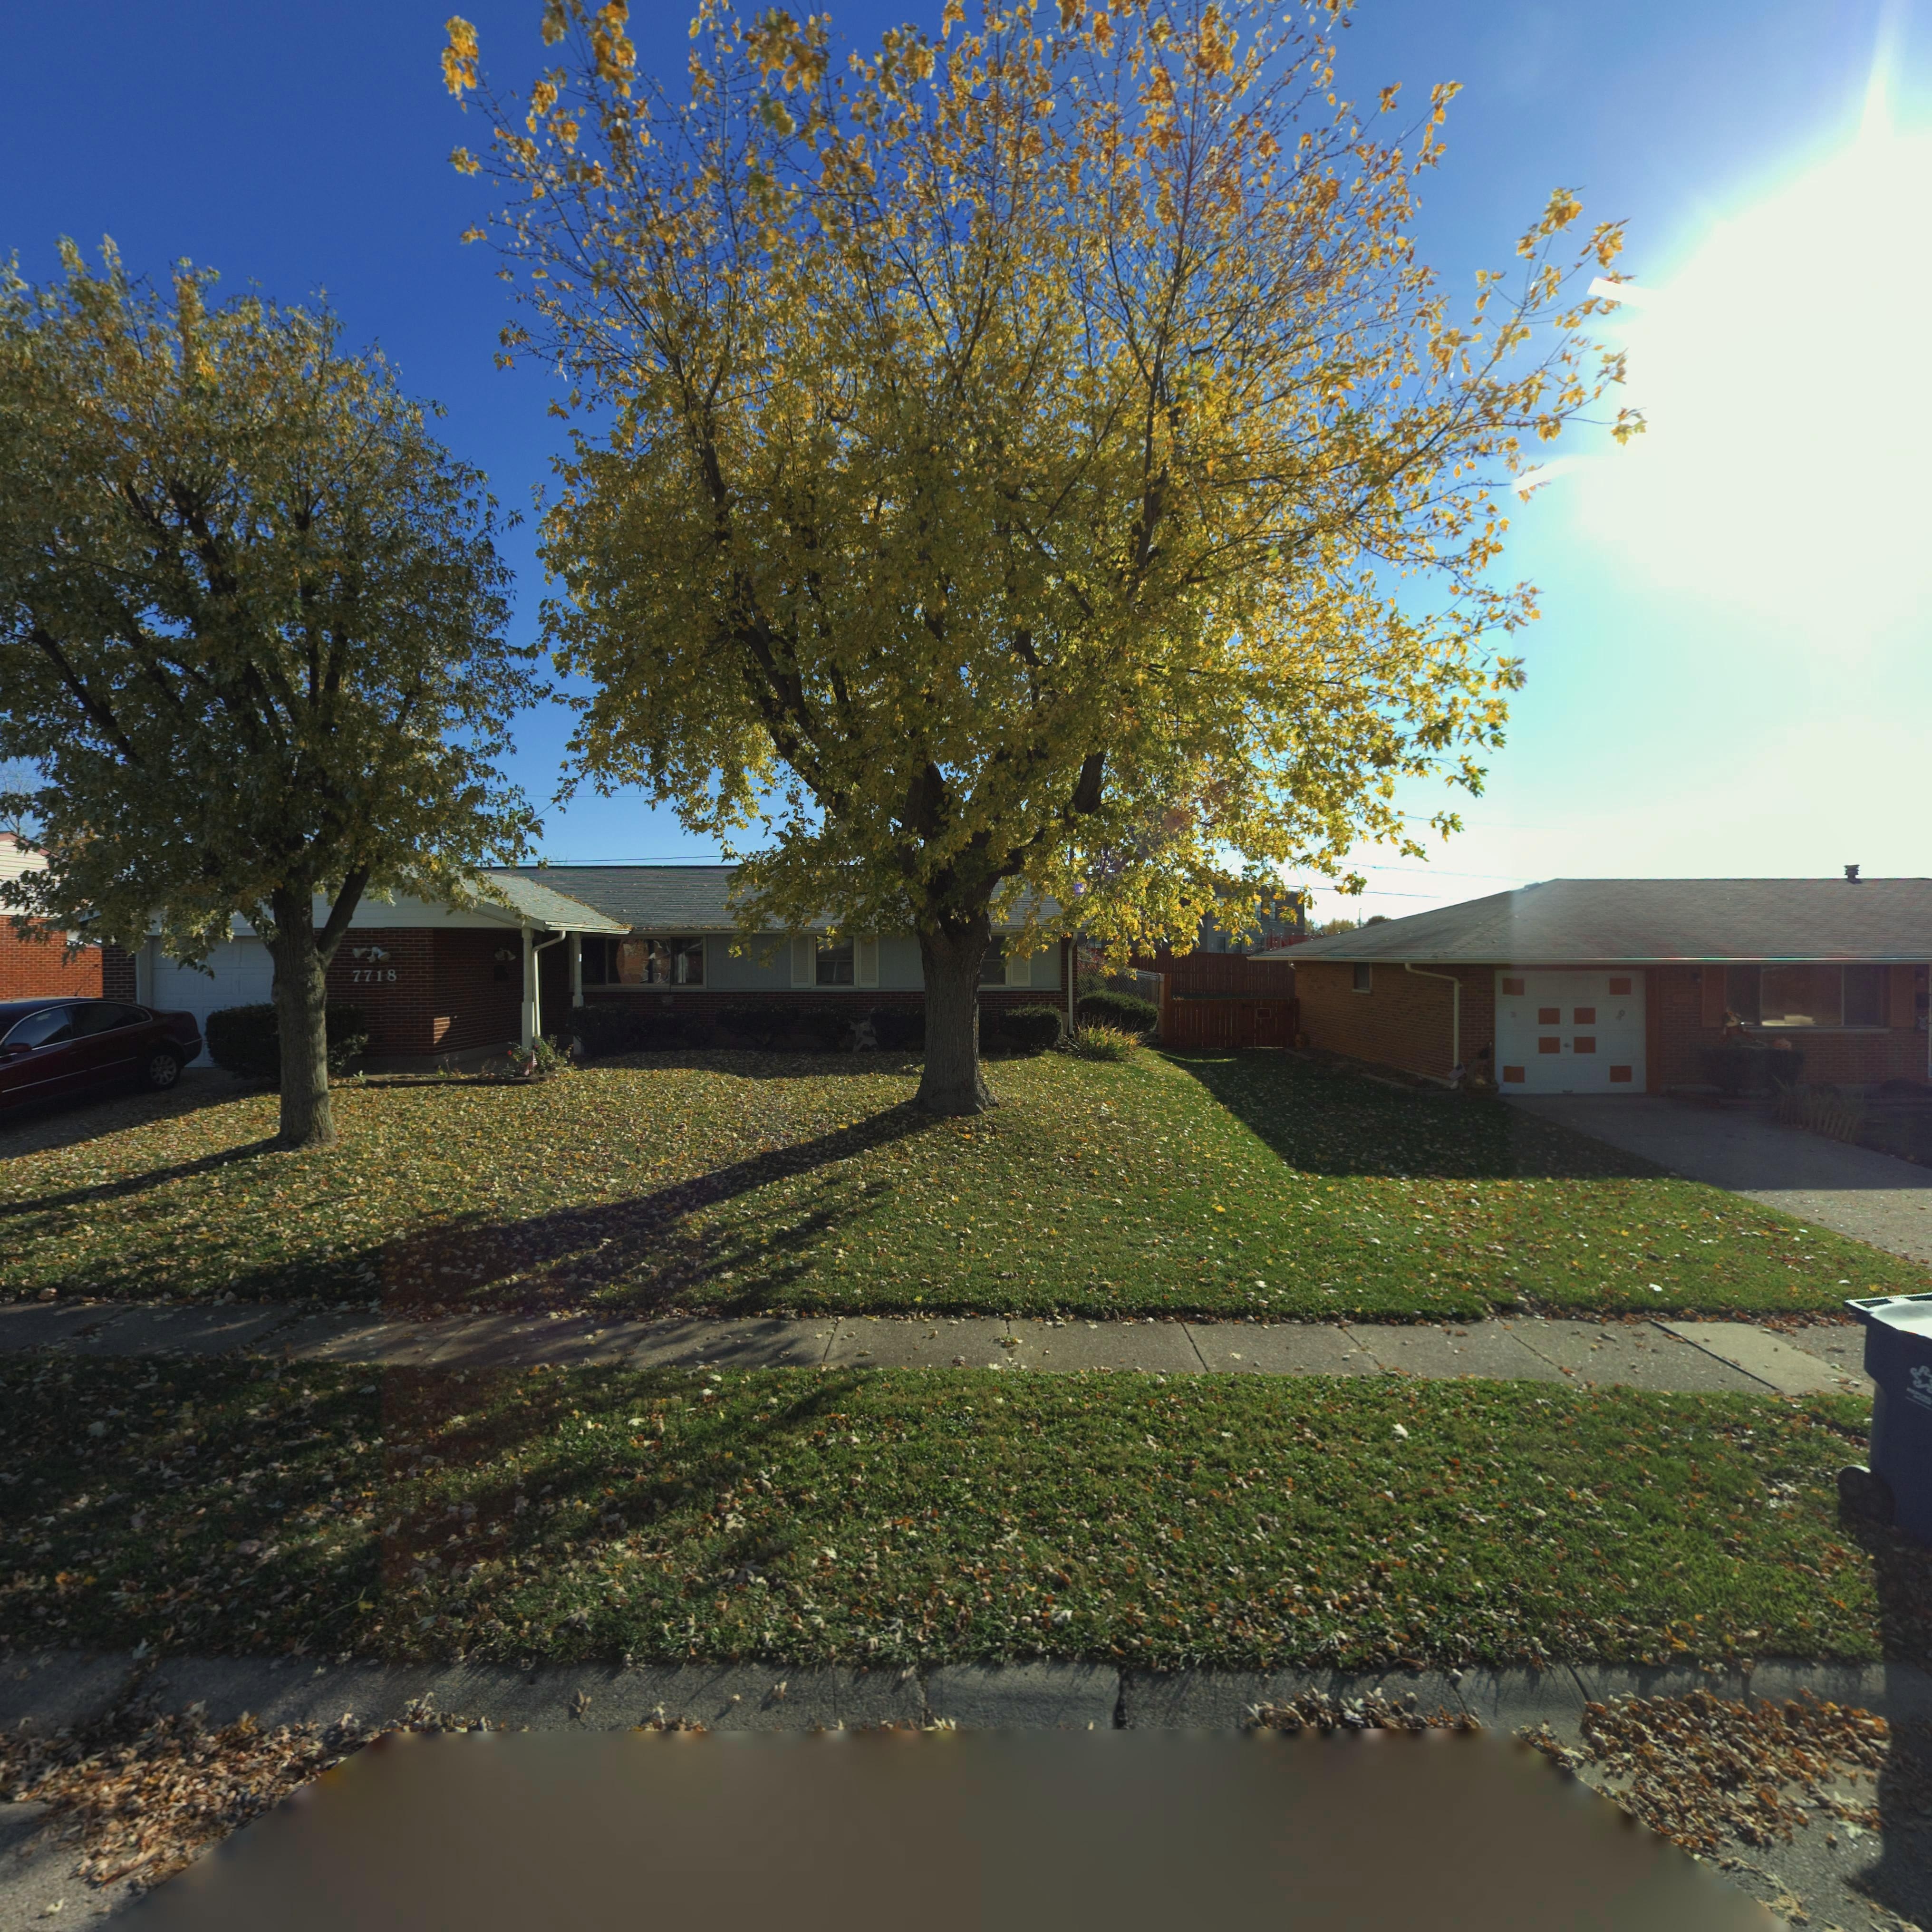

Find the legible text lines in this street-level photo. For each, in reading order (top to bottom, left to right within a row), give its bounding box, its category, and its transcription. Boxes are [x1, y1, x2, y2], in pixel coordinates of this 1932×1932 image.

[352, 968, 398, 983] StreetNumber: 7718
[1673, 995, 1692, 1002] StreetNumber: 7***